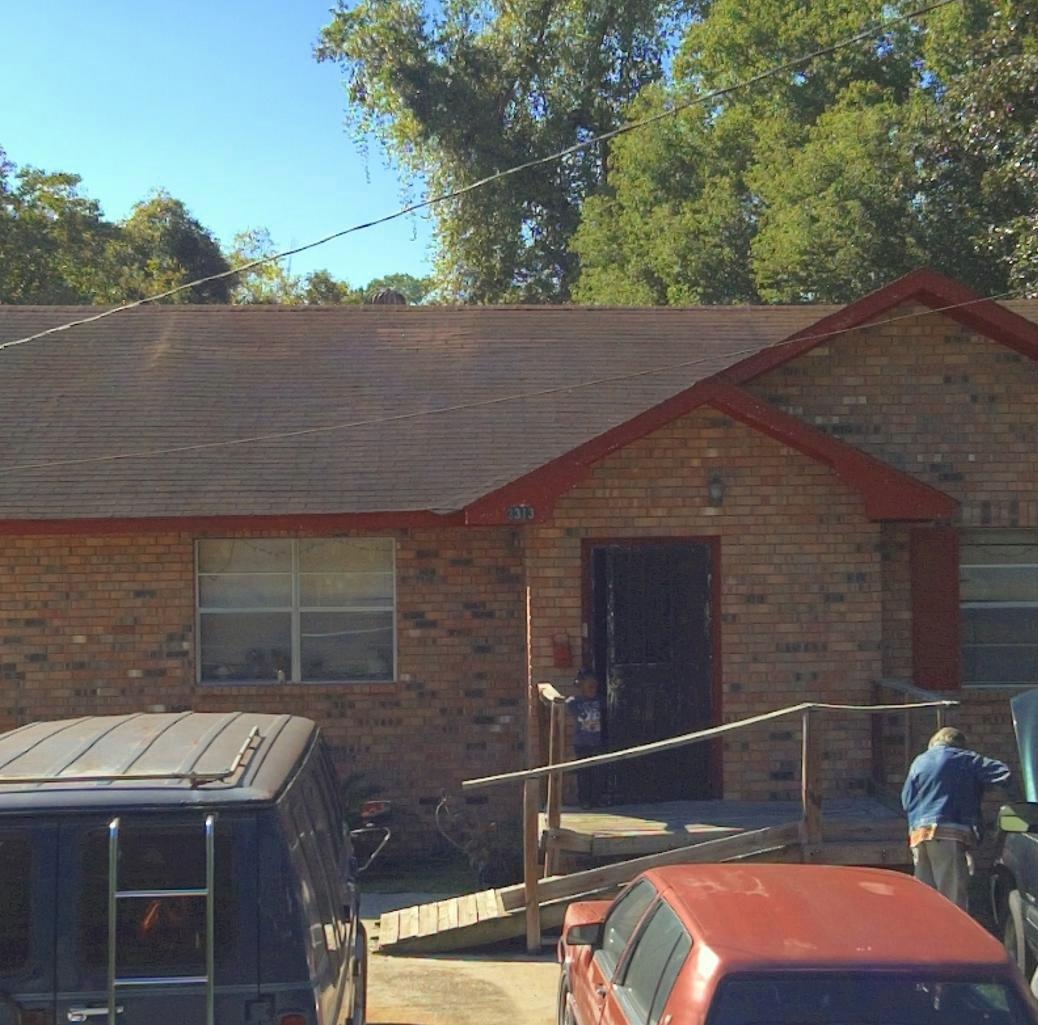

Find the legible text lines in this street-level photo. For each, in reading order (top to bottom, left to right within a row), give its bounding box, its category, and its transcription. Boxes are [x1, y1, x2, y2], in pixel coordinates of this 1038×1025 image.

[506, 506, 535, 521] StreetNumber: 2313